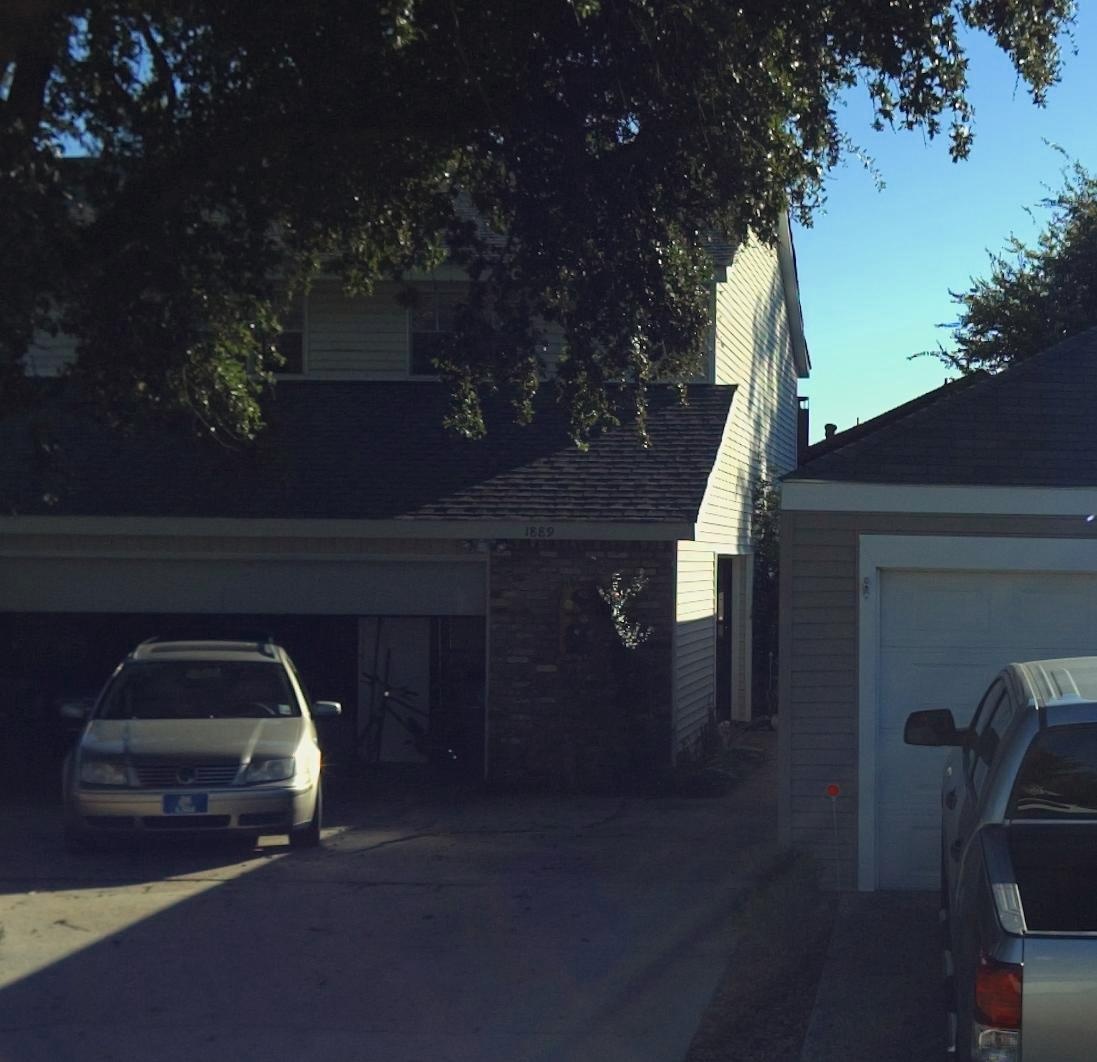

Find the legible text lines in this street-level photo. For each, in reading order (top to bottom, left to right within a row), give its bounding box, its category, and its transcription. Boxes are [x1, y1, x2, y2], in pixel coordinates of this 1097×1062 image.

[523, 524, 556, 539] StreetNumber: 1889